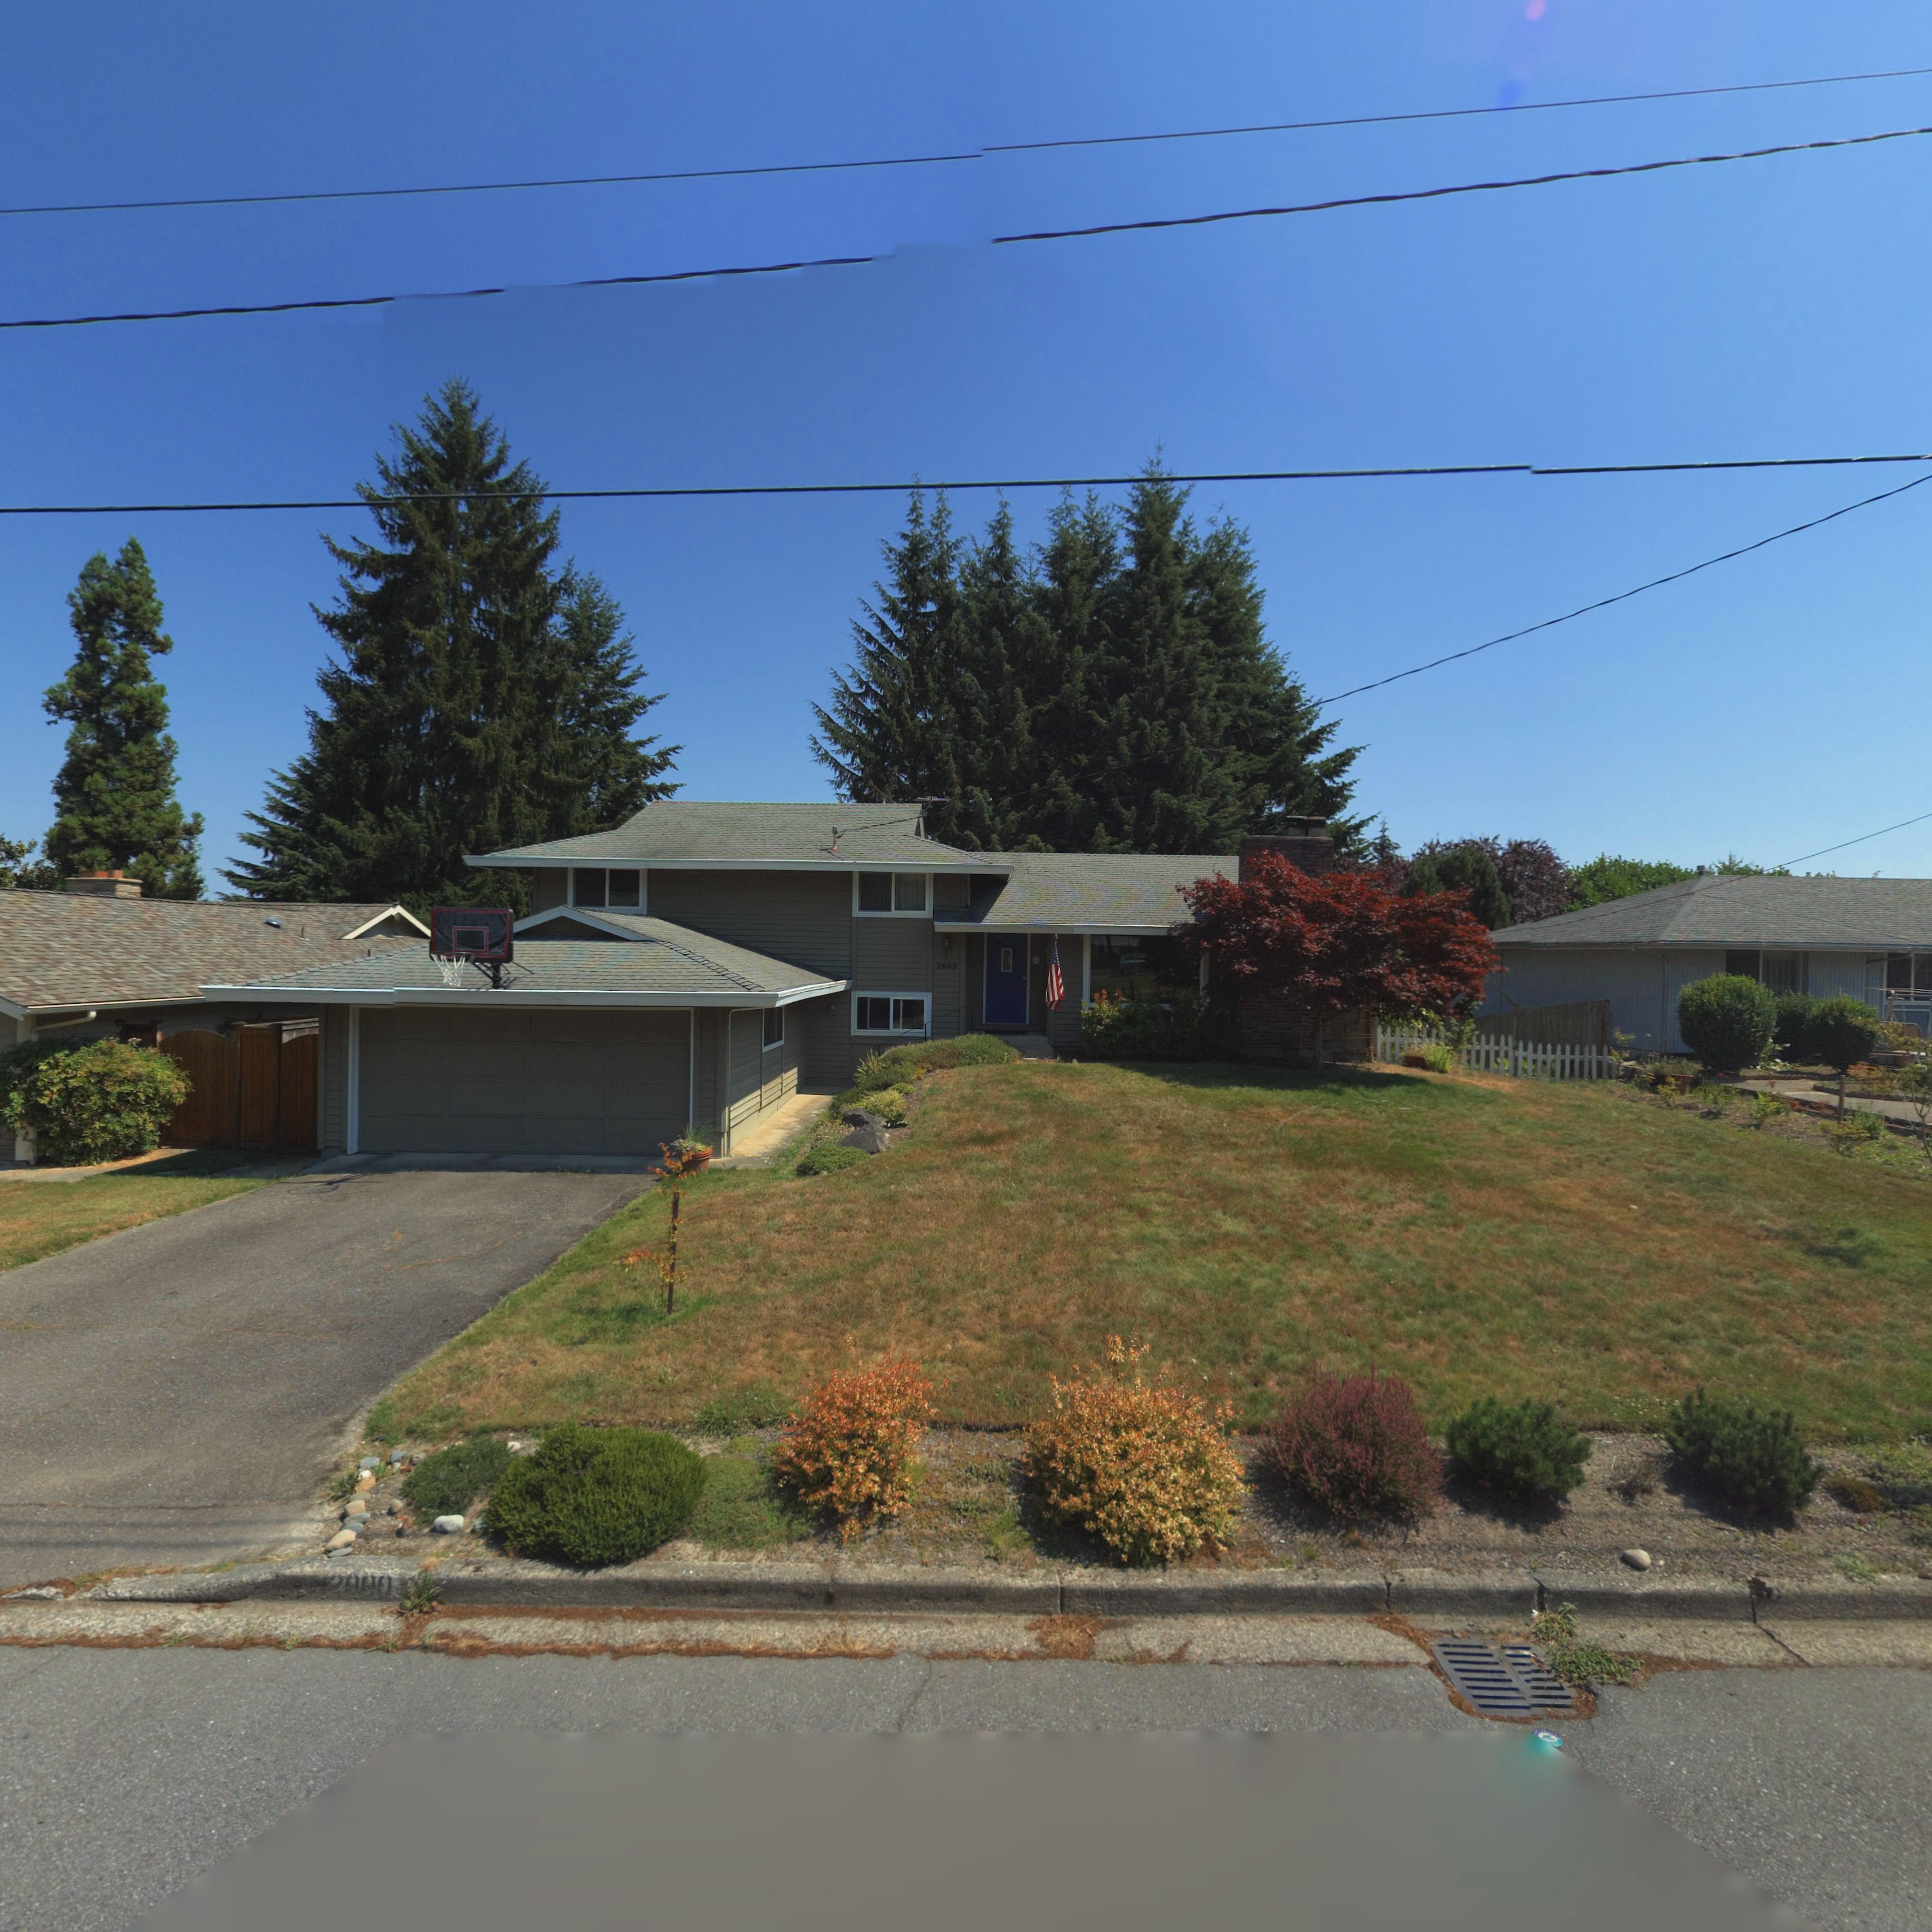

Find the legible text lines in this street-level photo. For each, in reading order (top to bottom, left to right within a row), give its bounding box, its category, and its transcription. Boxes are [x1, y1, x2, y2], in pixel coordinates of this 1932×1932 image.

[937, 962, 956, 969] StreetNumber: 2000